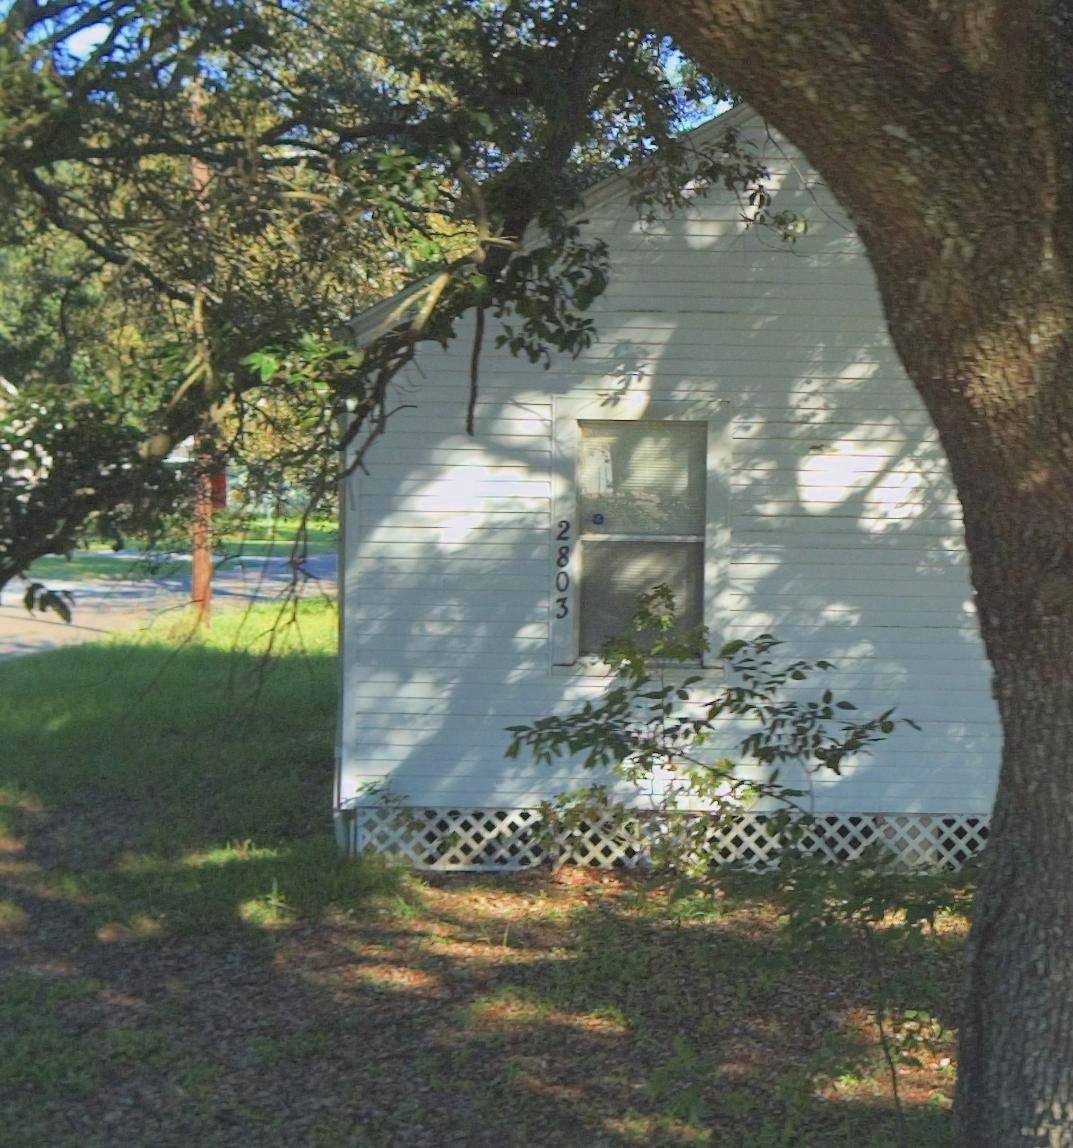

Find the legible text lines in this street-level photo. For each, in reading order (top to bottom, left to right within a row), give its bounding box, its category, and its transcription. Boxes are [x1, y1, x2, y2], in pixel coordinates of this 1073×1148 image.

[553, 517, 572, 621] StreetNumber: 2803